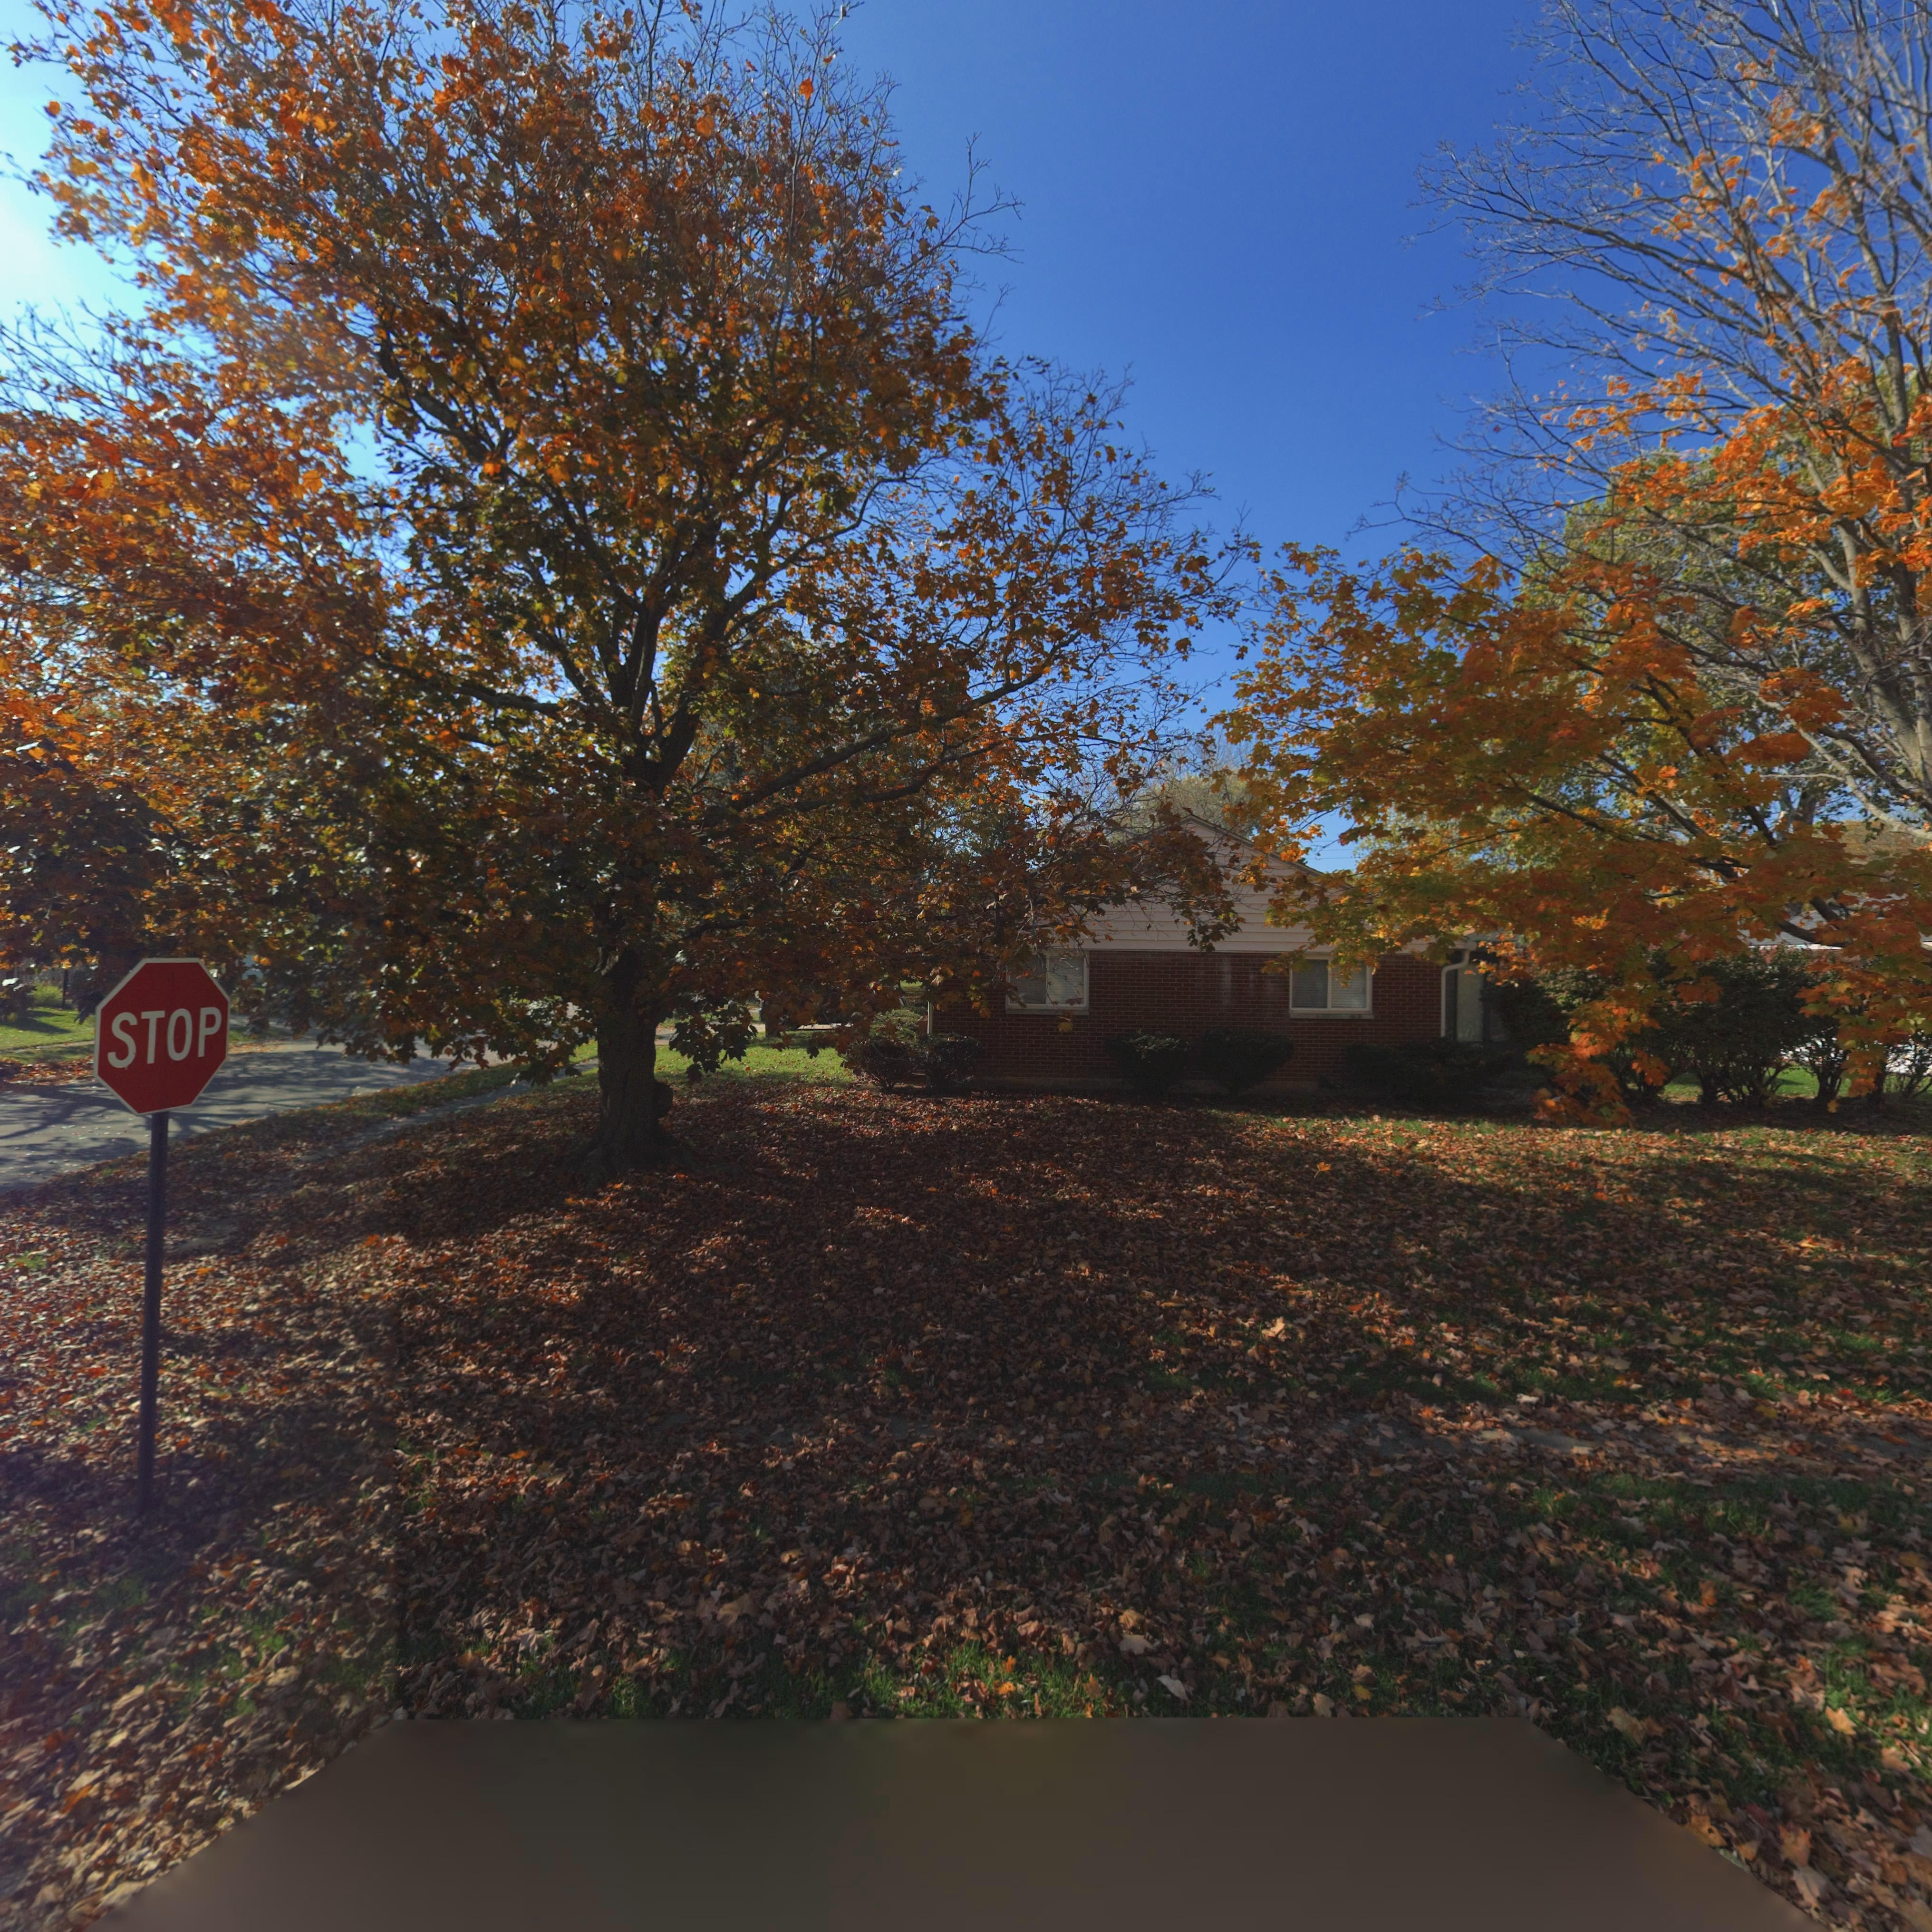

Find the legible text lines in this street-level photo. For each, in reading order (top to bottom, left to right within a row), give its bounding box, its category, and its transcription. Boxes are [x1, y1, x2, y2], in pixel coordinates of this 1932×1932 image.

[105, 1004, 224, 1069] None: STOP